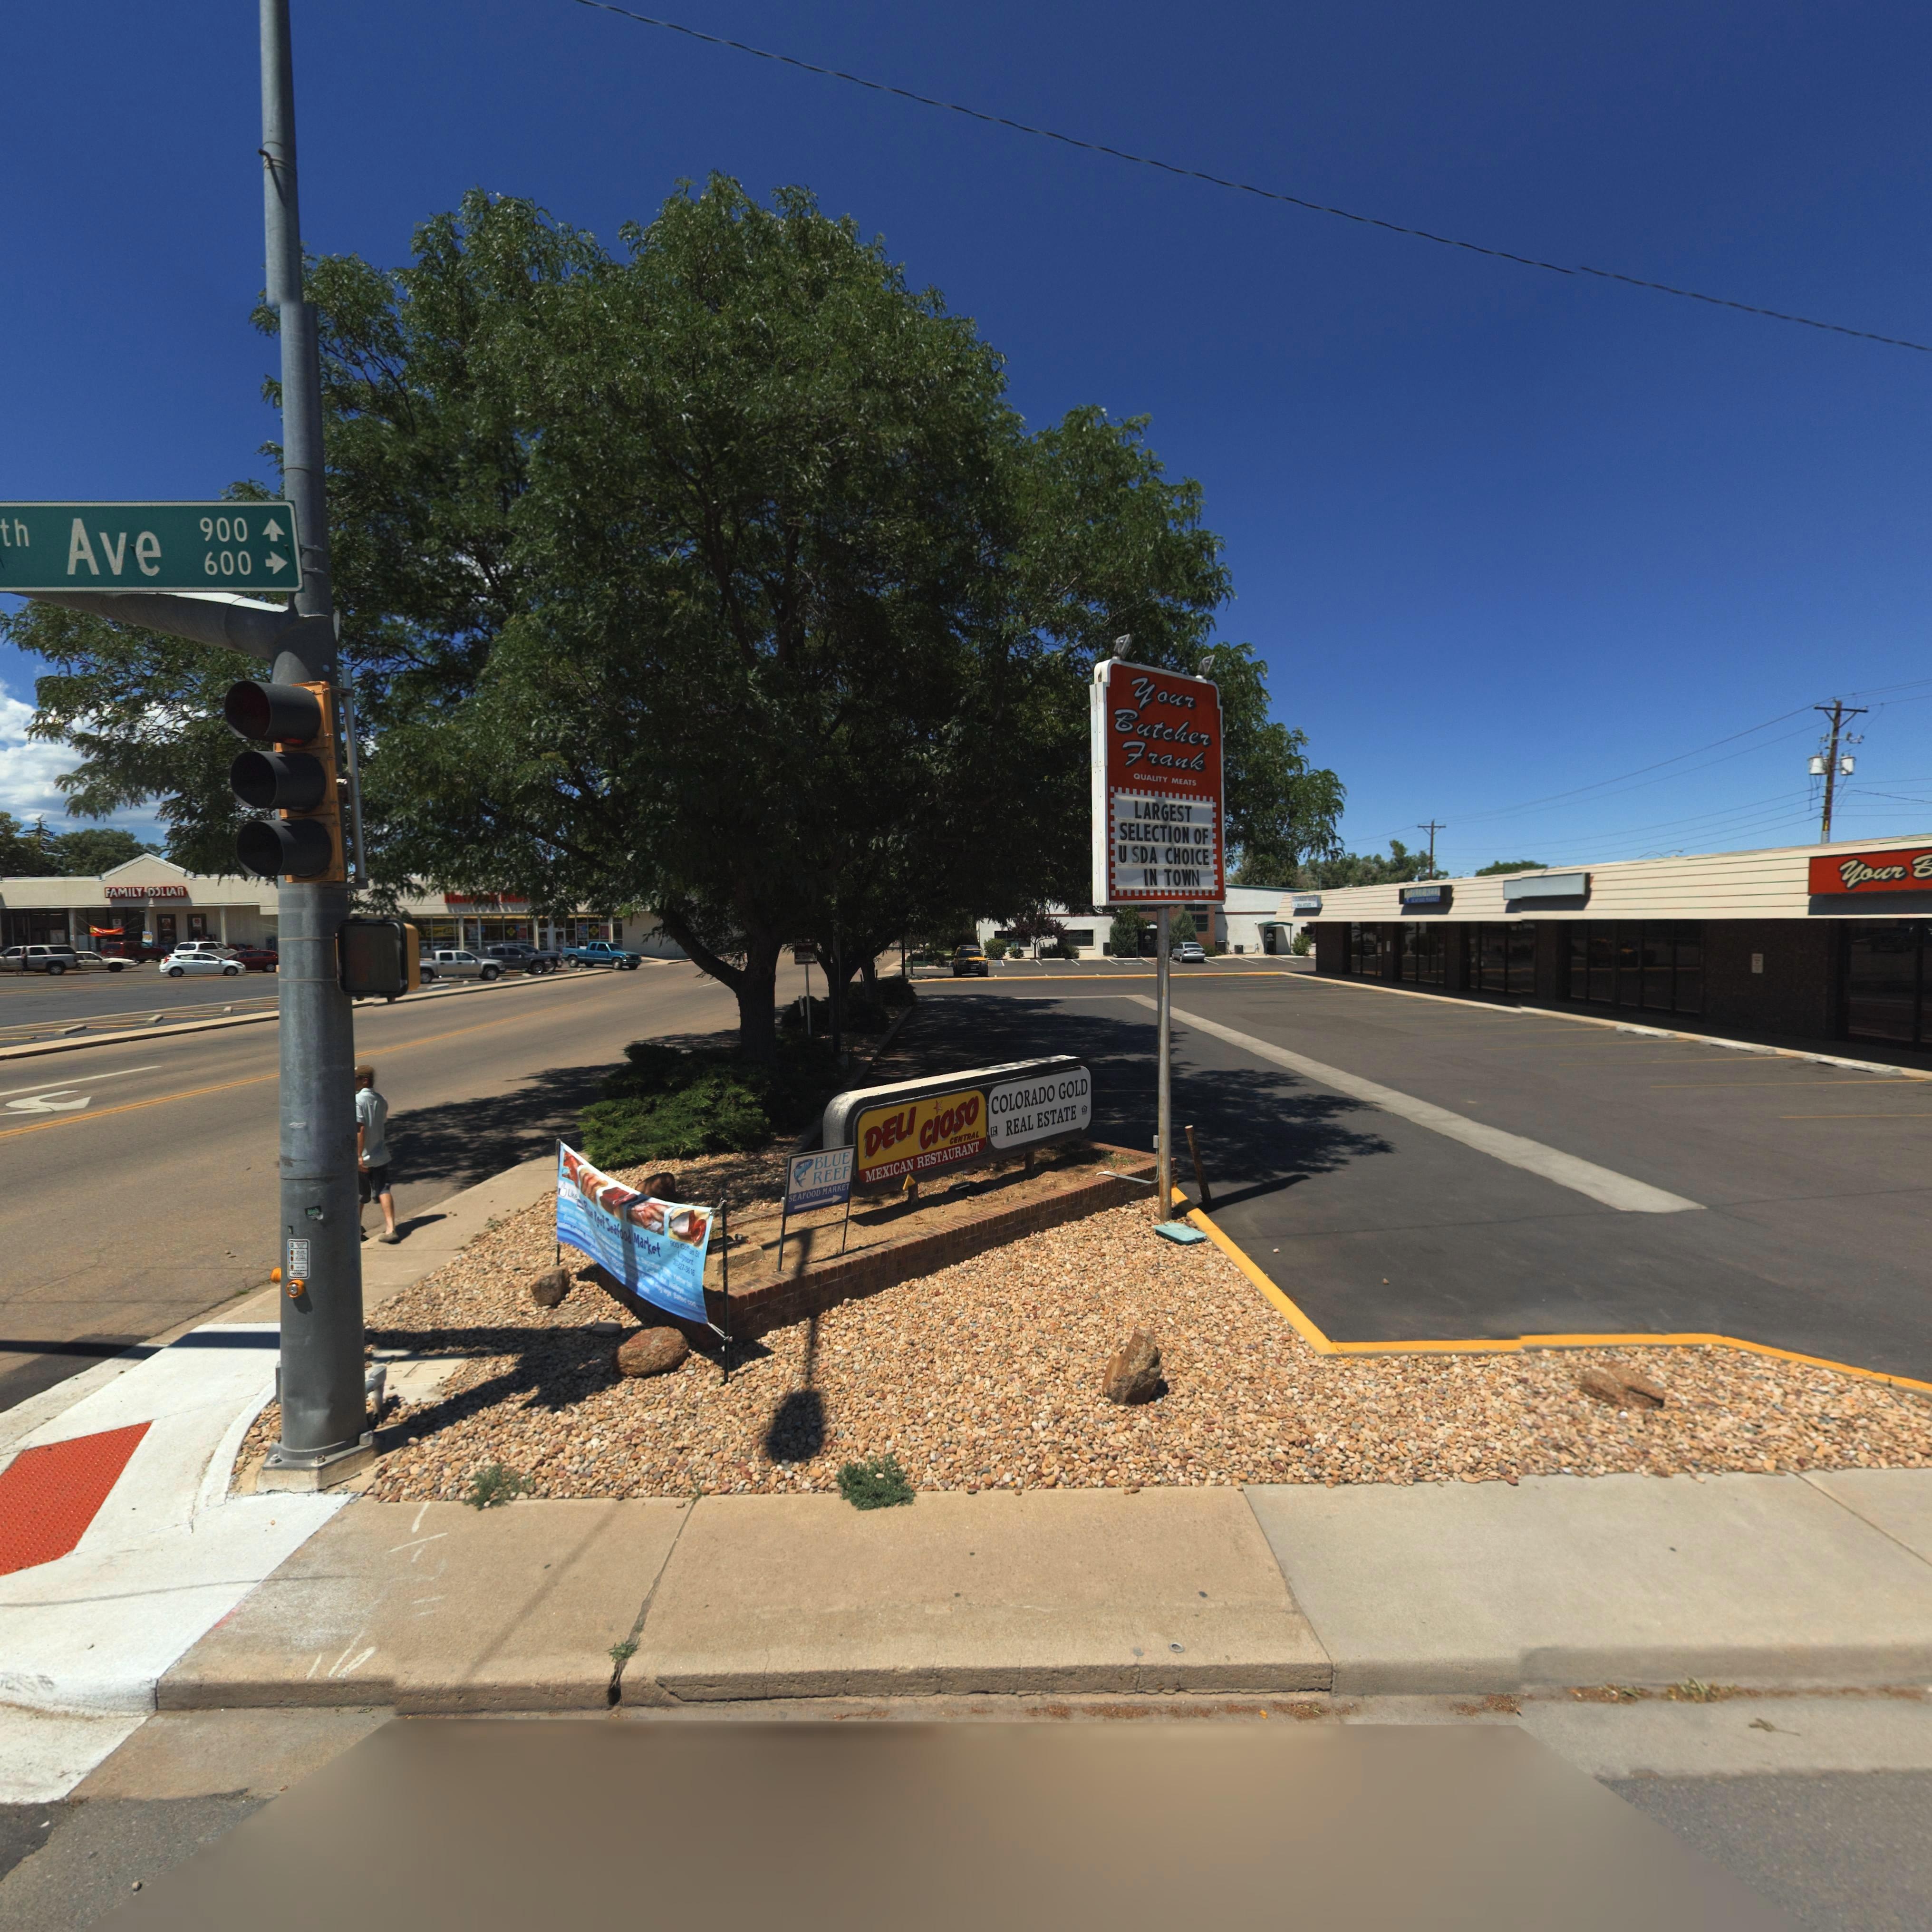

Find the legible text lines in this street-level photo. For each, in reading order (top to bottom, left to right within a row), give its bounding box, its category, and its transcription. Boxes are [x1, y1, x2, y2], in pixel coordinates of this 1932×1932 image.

[199, 516, 250, 542] StreetNumberRange: 900
[12, 516, 164, 577] StreetName: h Ave
[203, 550, 290, 576] StreetNumberRange: 600 ->
[1130, 676, 1195, 711] BusinessName: *ou*
[1112, 707, 1212, 747] BusinessName: Butche*
[1120, 739, 1206, 772] BusinessName: **ank
[1837, 857, 1907, 890] BusinessName: *ou*
[105, 886, 184, 897] BusinessName: FAMILY D*LLAR
[444, 888, 529, 903] BusinessName: *a***** *******
[1296, 902, 1311, 907] BusinessName: ***L ****TE
[1291, 895, 1317, 901] BusinessName: C******* G***
[1410, 896, 1439, 903] BusinessName: ****OOD ***KET
[1410, 886, 1440, 897] BusinessName: BLUE REEF
[991, 1078, 1088, 1115] BusinessName: COLORADO GOLD
[864, 1105, 918, 1158] BusinessName: DELI
[918, 1094, 980, 1151] BusinessName: c*oso
[949, 1130, 980, 1145] BusinessName: CENTRAL
[1005, 1104, 1077, 1137] BusinessName: REAL ESTATE
[814, 1151, 850, 1170] BusinessName: BLUE
[865, 1140, 979, 1183] BusinessName: MEXICAN RESTAURANT
[812, 1165, 851, 1185] BusinessName: REEF
[788, 1182, 850, 1203] BusinessName: SEAFOOD MARKET
[582, 1199, 662, 1257] BusinessName: ***e *eef Seafood Market
[669, 1239, 679, 1248] StreetNumber: 900
[679, 1242, 700, 1258] StreetName: Co*f*an St